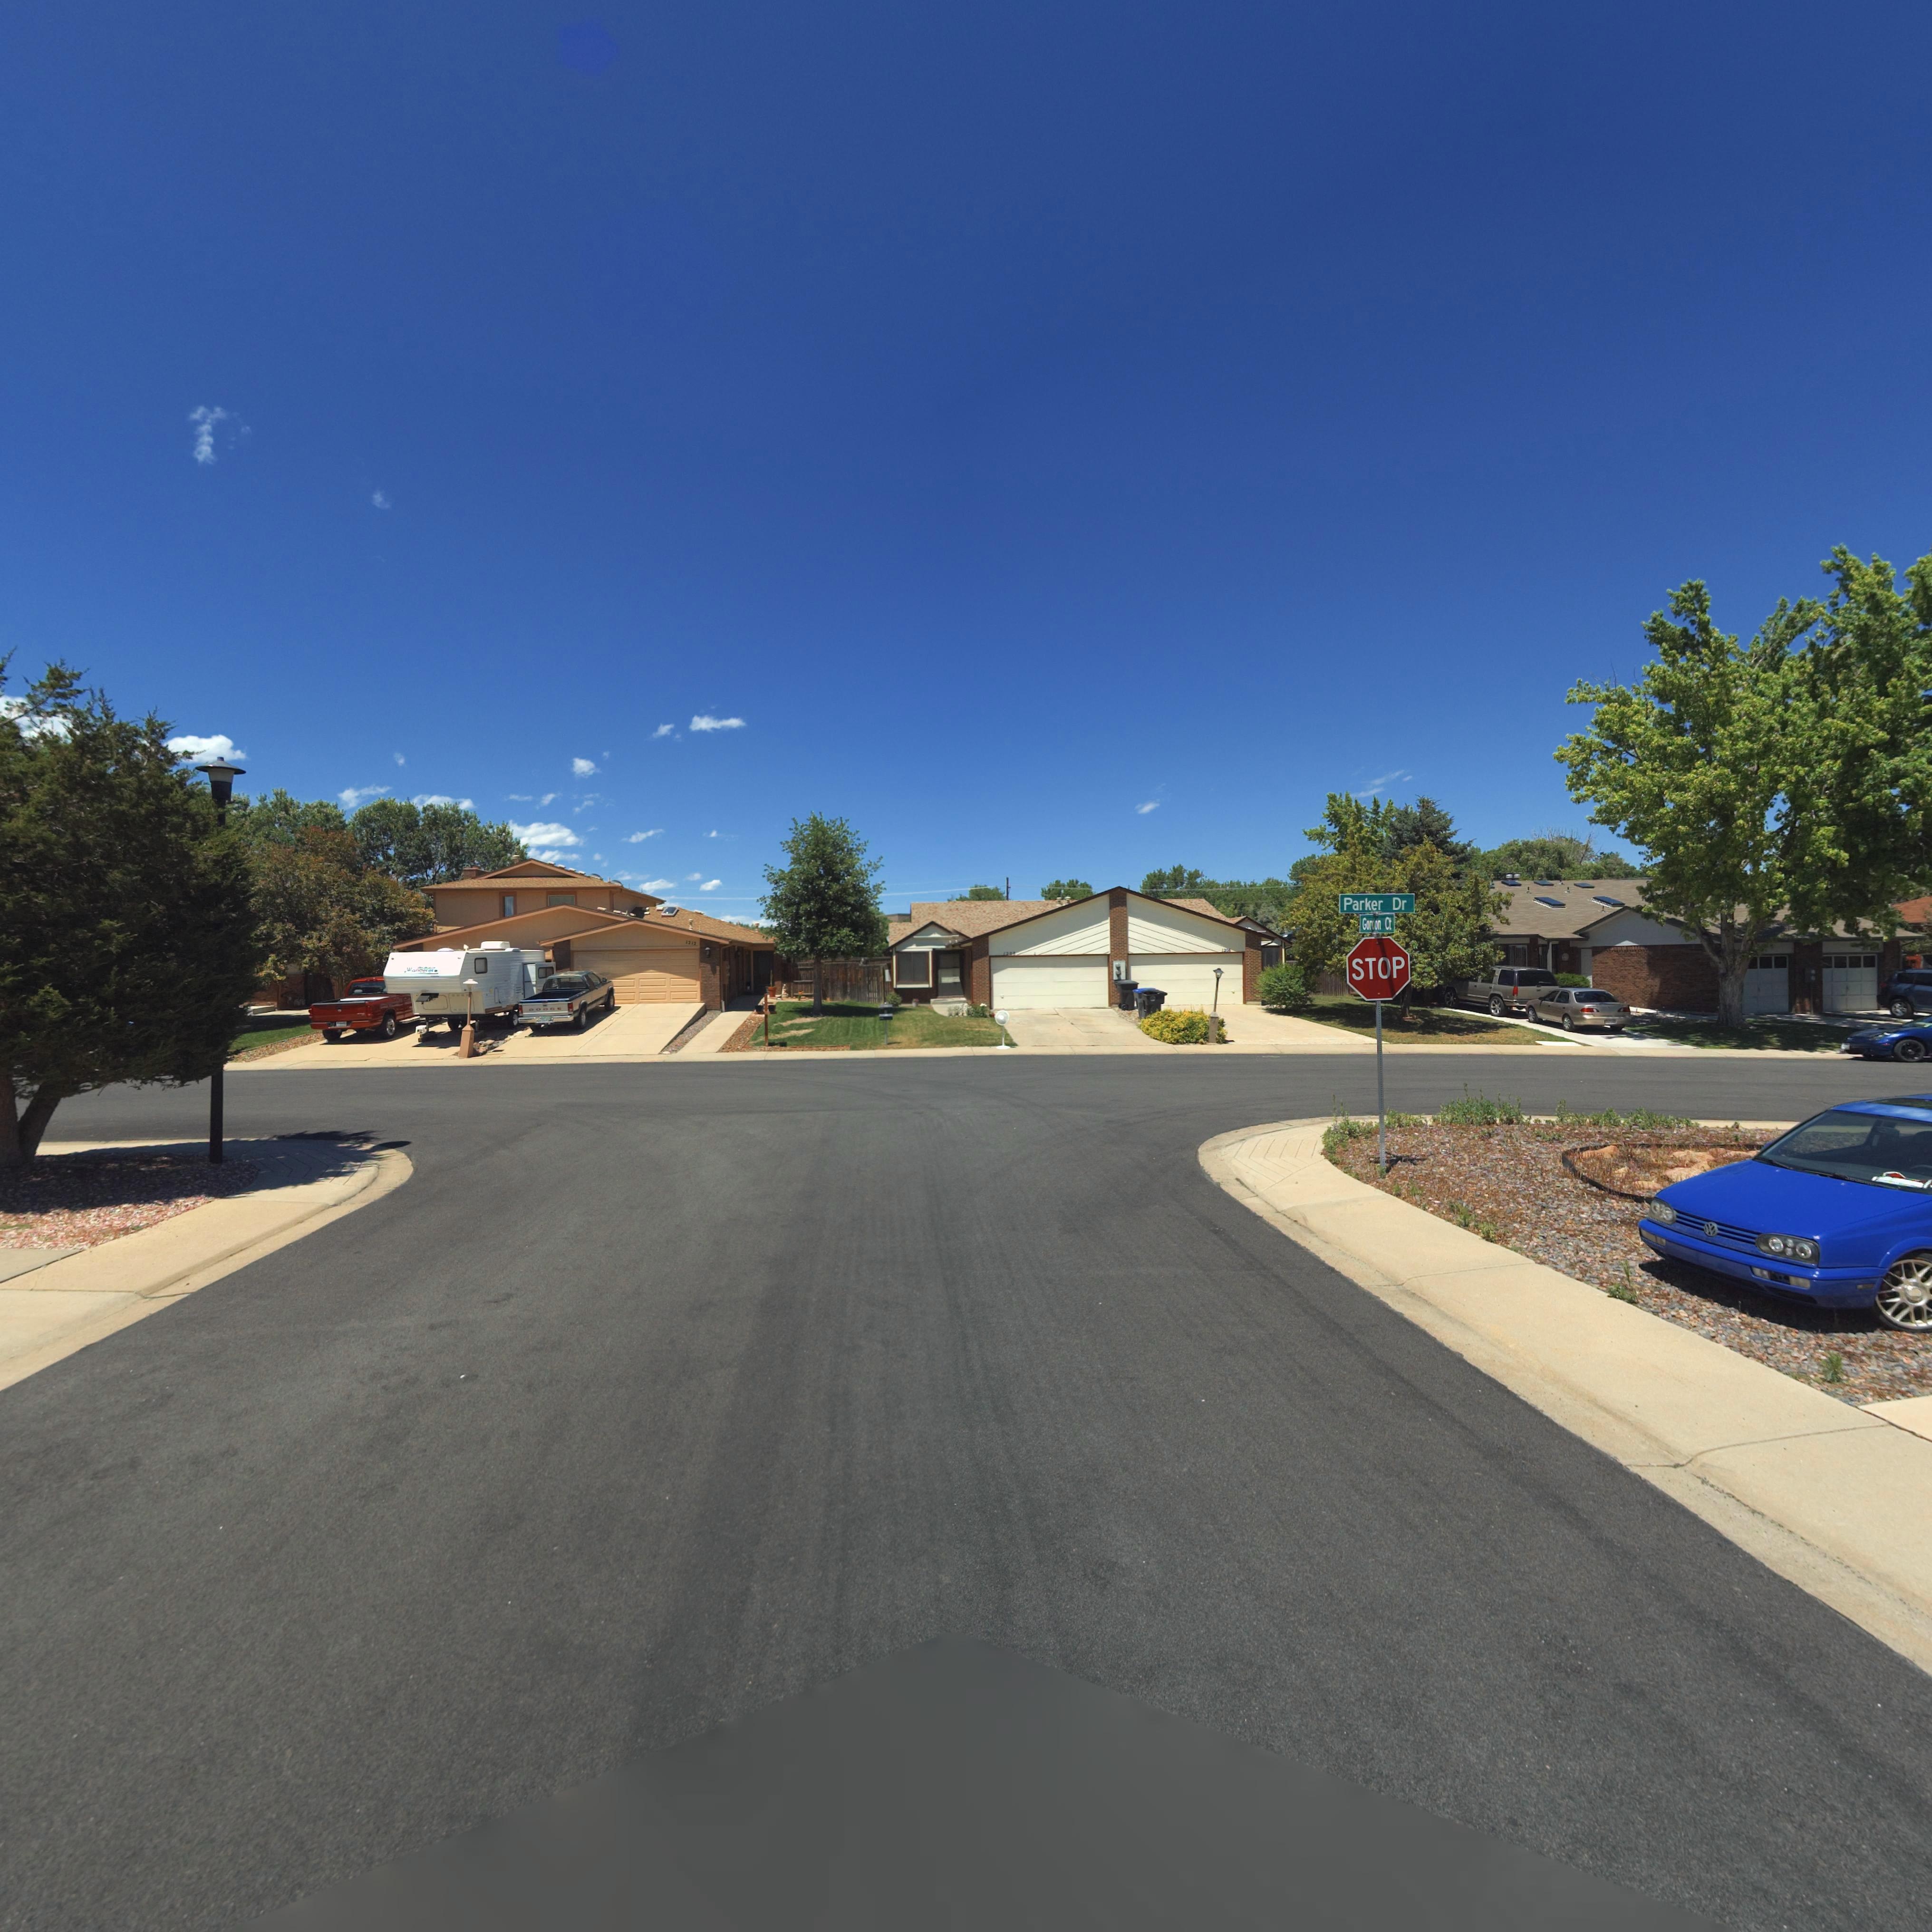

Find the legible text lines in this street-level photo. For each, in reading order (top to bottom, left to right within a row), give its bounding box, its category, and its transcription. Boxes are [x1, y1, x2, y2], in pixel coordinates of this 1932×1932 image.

[1343, 897, 1407, 910] StreetName: Parker Dr
[1362, 916, 1392, 930] StreetName: Gordon Ct
[685, 939, 696, 945] StreetNumber: 1212
[1222, 947, 1231, 952] StreetNumber: 12**